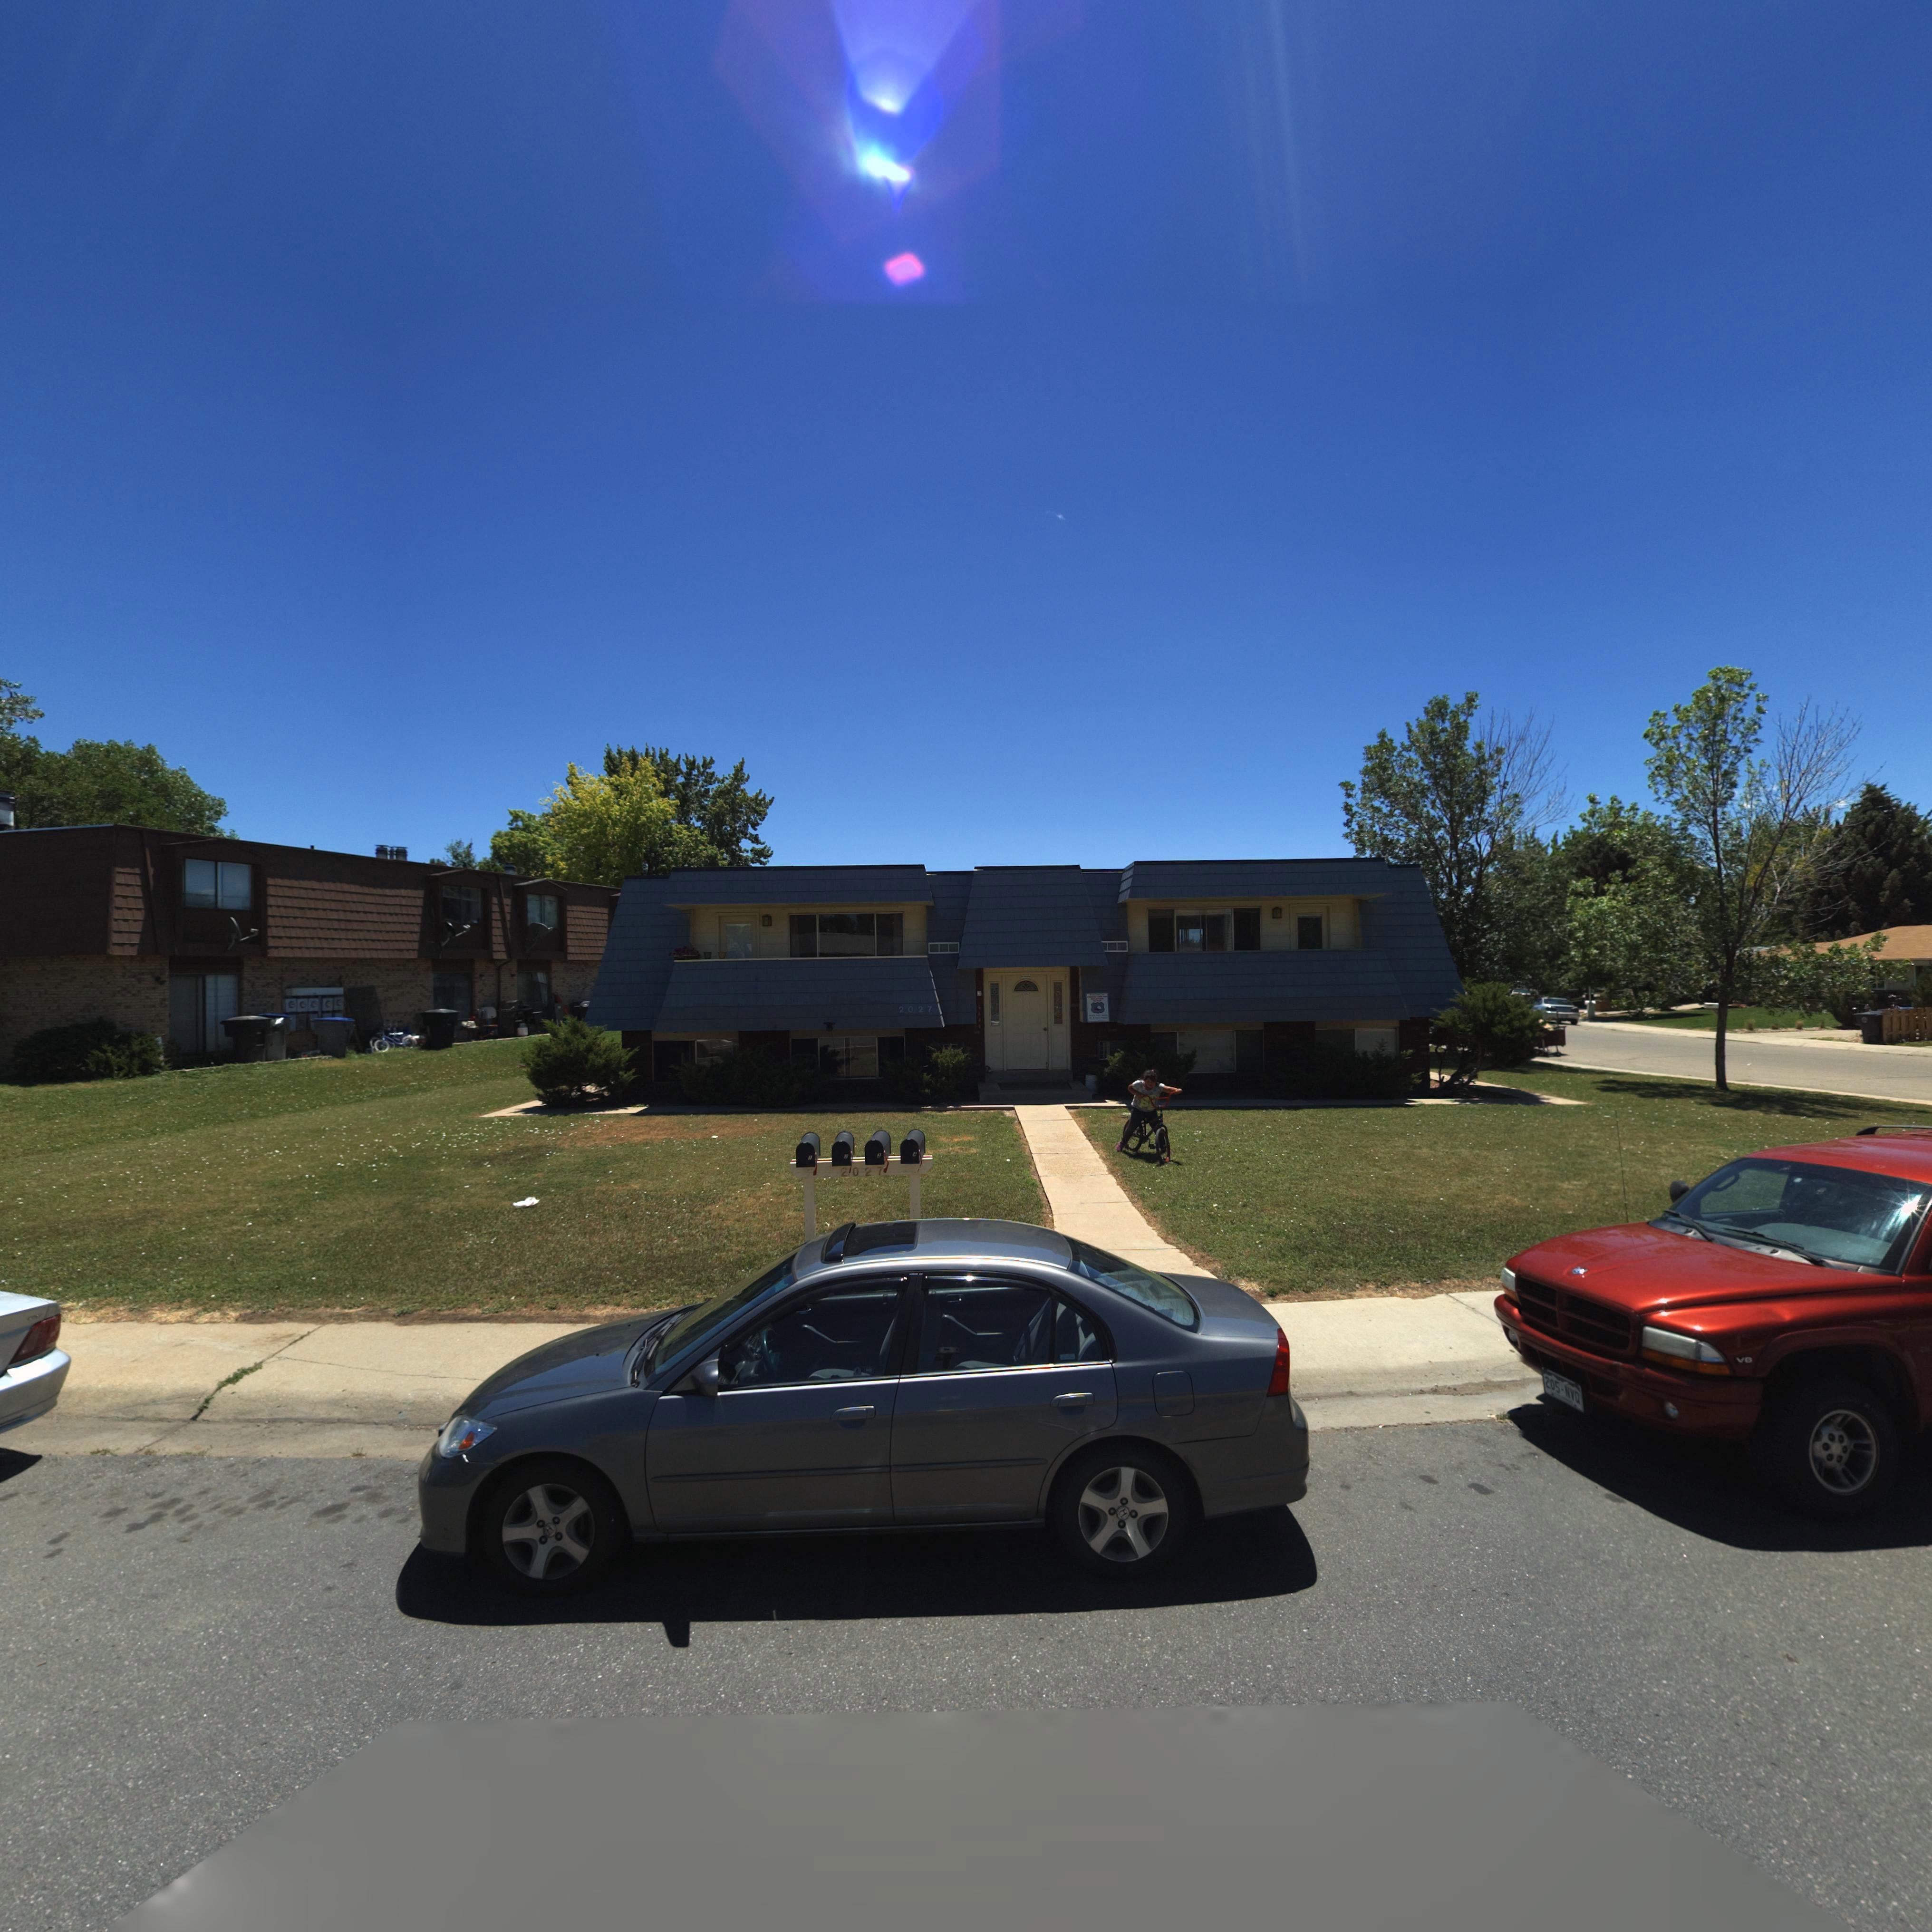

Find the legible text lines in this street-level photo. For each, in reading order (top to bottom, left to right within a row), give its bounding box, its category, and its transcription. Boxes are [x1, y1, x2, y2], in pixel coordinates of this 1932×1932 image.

[898, 1005, 931, 1012] StreetNumber: 2027
[808, 1155, 811, 1160] StreetNumber: 1
[843, 1154, 848, 1159] StreetNumber: 2
[877, 1153, 880, 1157] StreetNumber: 3
[913, 1152, 916, 1156] StreetNumber: 4
[840, 1165, 885, 1177] StreetNumber: 2027